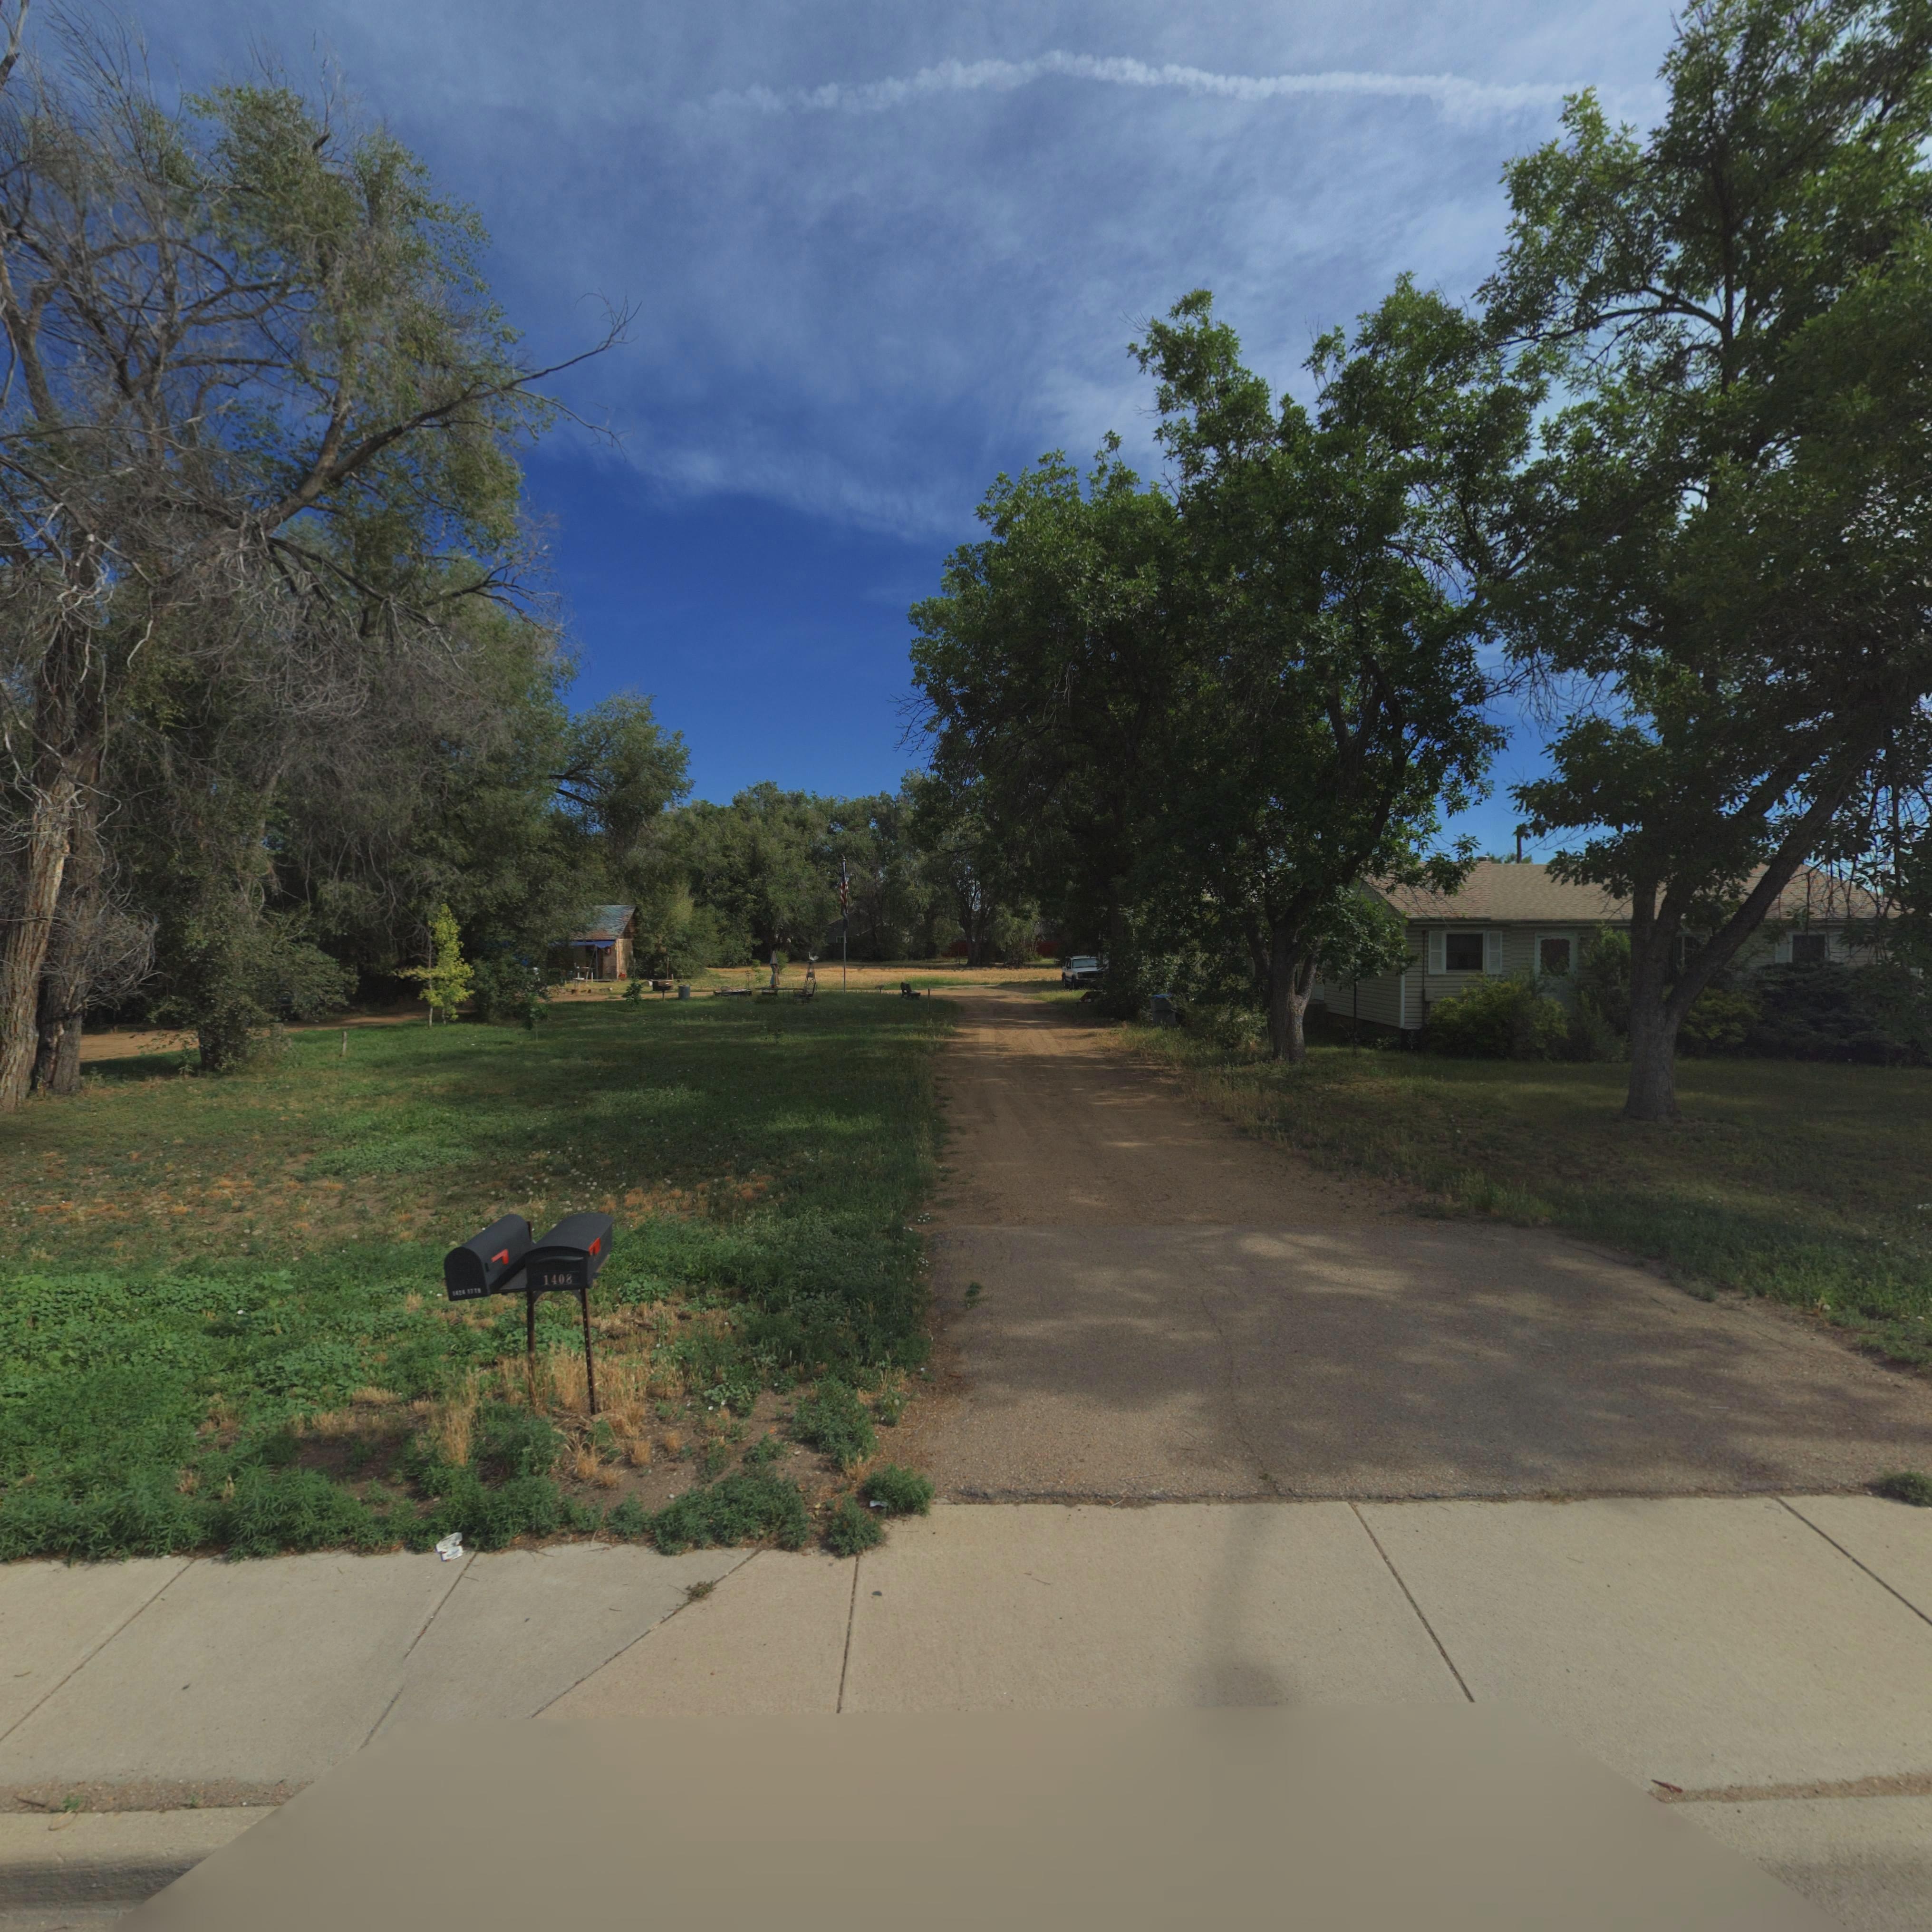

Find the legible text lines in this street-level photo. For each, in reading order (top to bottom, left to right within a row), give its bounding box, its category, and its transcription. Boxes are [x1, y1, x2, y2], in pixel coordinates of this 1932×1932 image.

[543, 1273, 572, 1285] StreetNumber: 1408
[451, 1289, 466, 1296] StreetNumber: 1424
[466, 1287, 482, 1294] StreetNumber: 1778